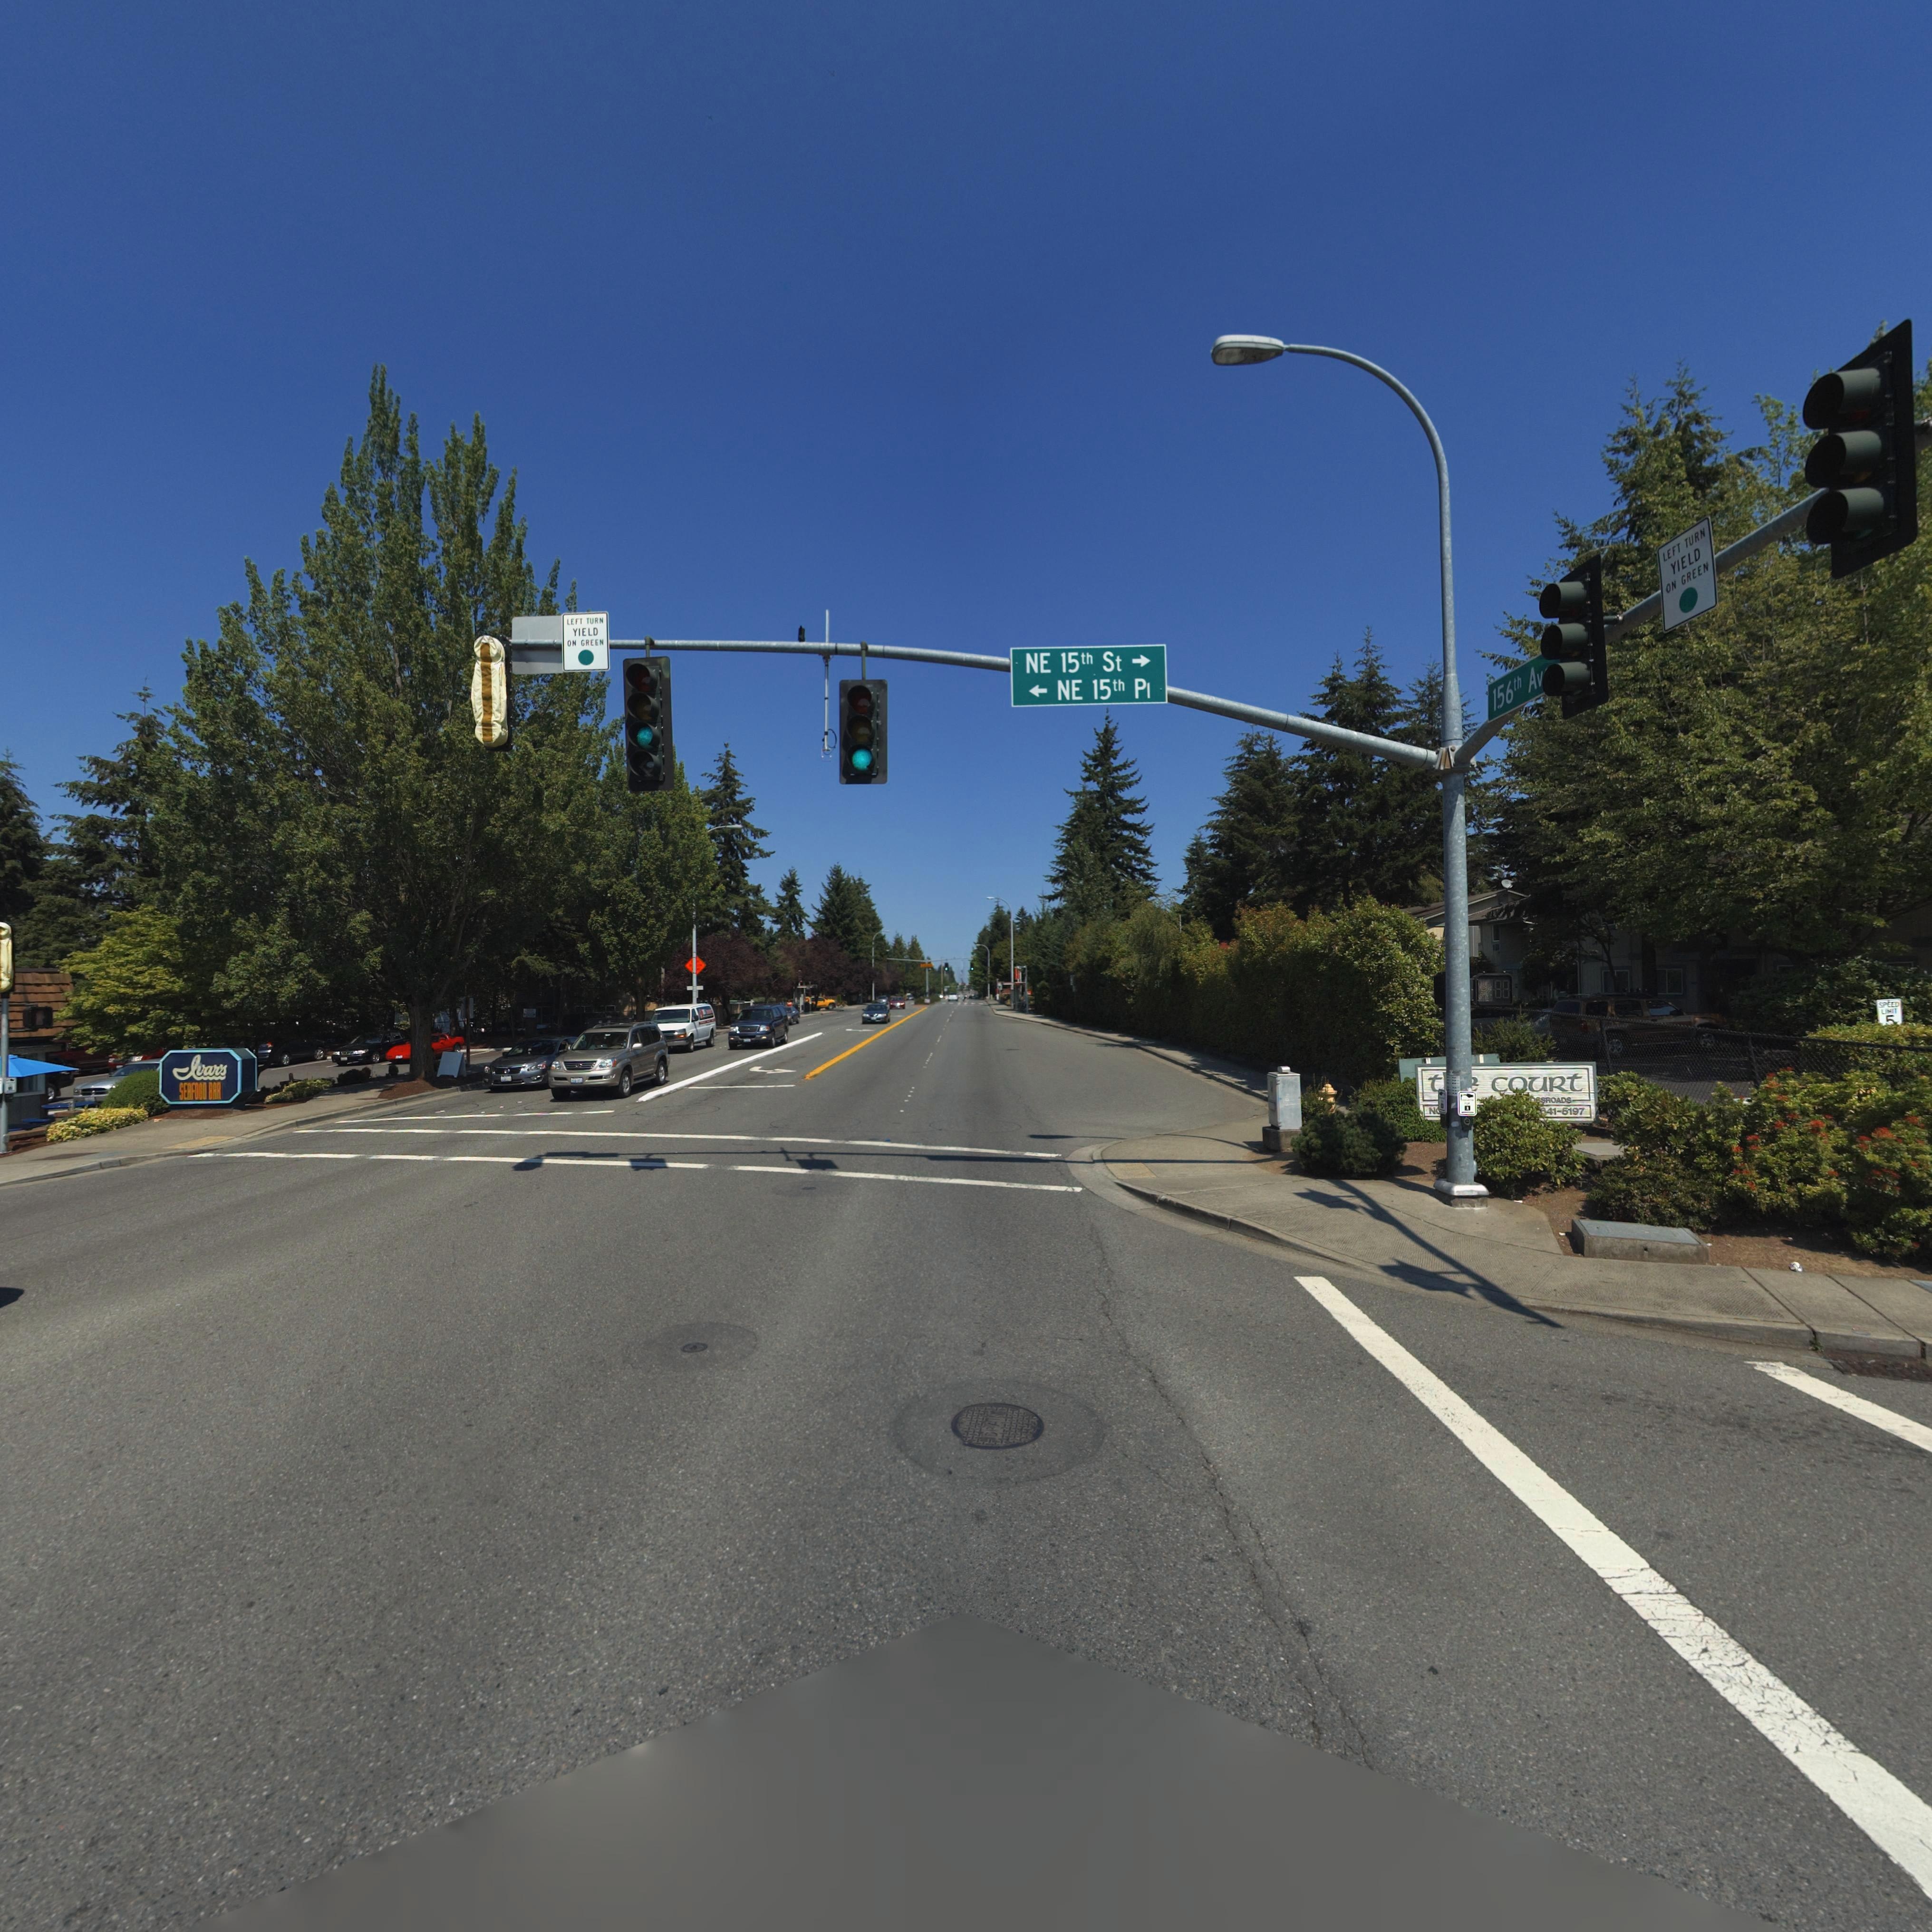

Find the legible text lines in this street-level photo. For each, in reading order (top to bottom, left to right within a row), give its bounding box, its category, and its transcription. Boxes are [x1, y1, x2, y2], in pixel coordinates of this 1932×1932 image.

[1024, 650, 1123, 675] StreetName: NE 15th St
[1057, 676, 1153, 702] StreetName: NE 15th Pl
[1491, 665, 1544, 713] StreetName: 156th Av
[171, 1053, 228, 1082] BusinessName: Ivar's
[1490, 1071, 1584, 1093] BusinessName: couRt